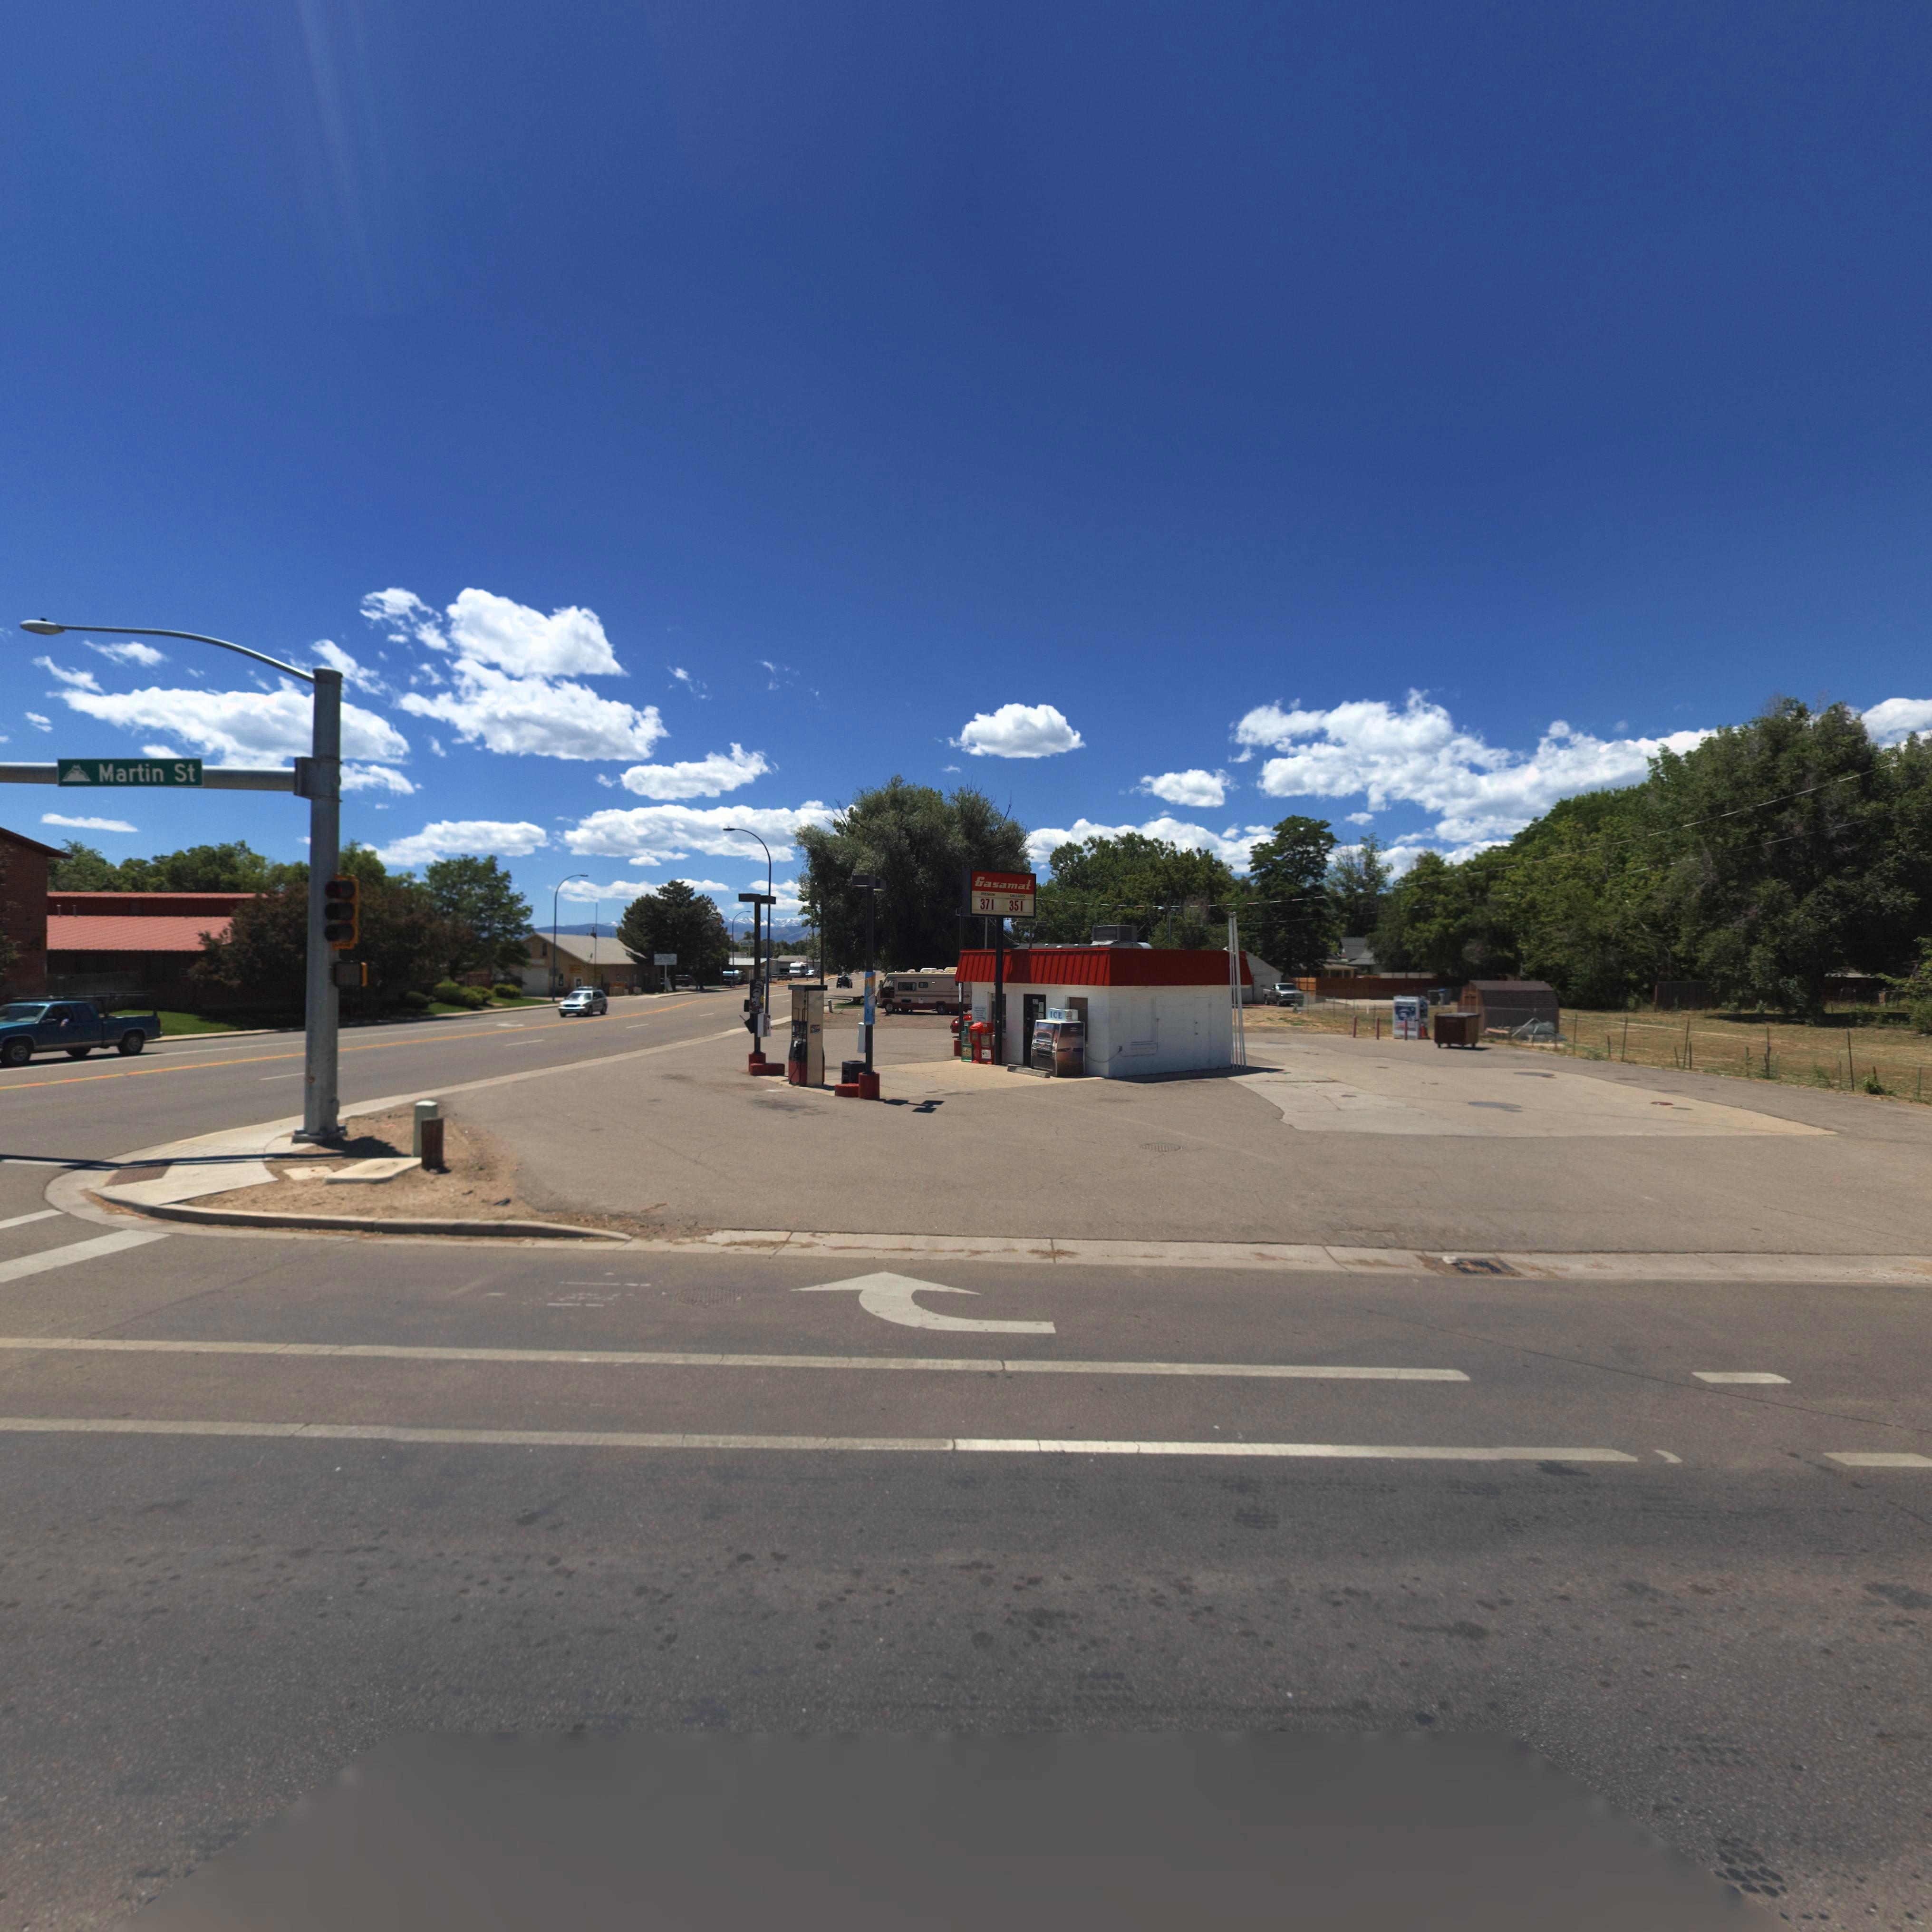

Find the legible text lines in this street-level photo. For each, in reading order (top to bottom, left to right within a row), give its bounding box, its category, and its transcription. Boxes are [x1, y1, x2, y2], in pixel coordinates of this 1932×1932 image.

[98, 762, 196, 782] StreetName: Martin St
[974, 876, 1031, 890] BusinessName: Gasamat
[1032, 999, 1038, 1004] StreetNumber: *01